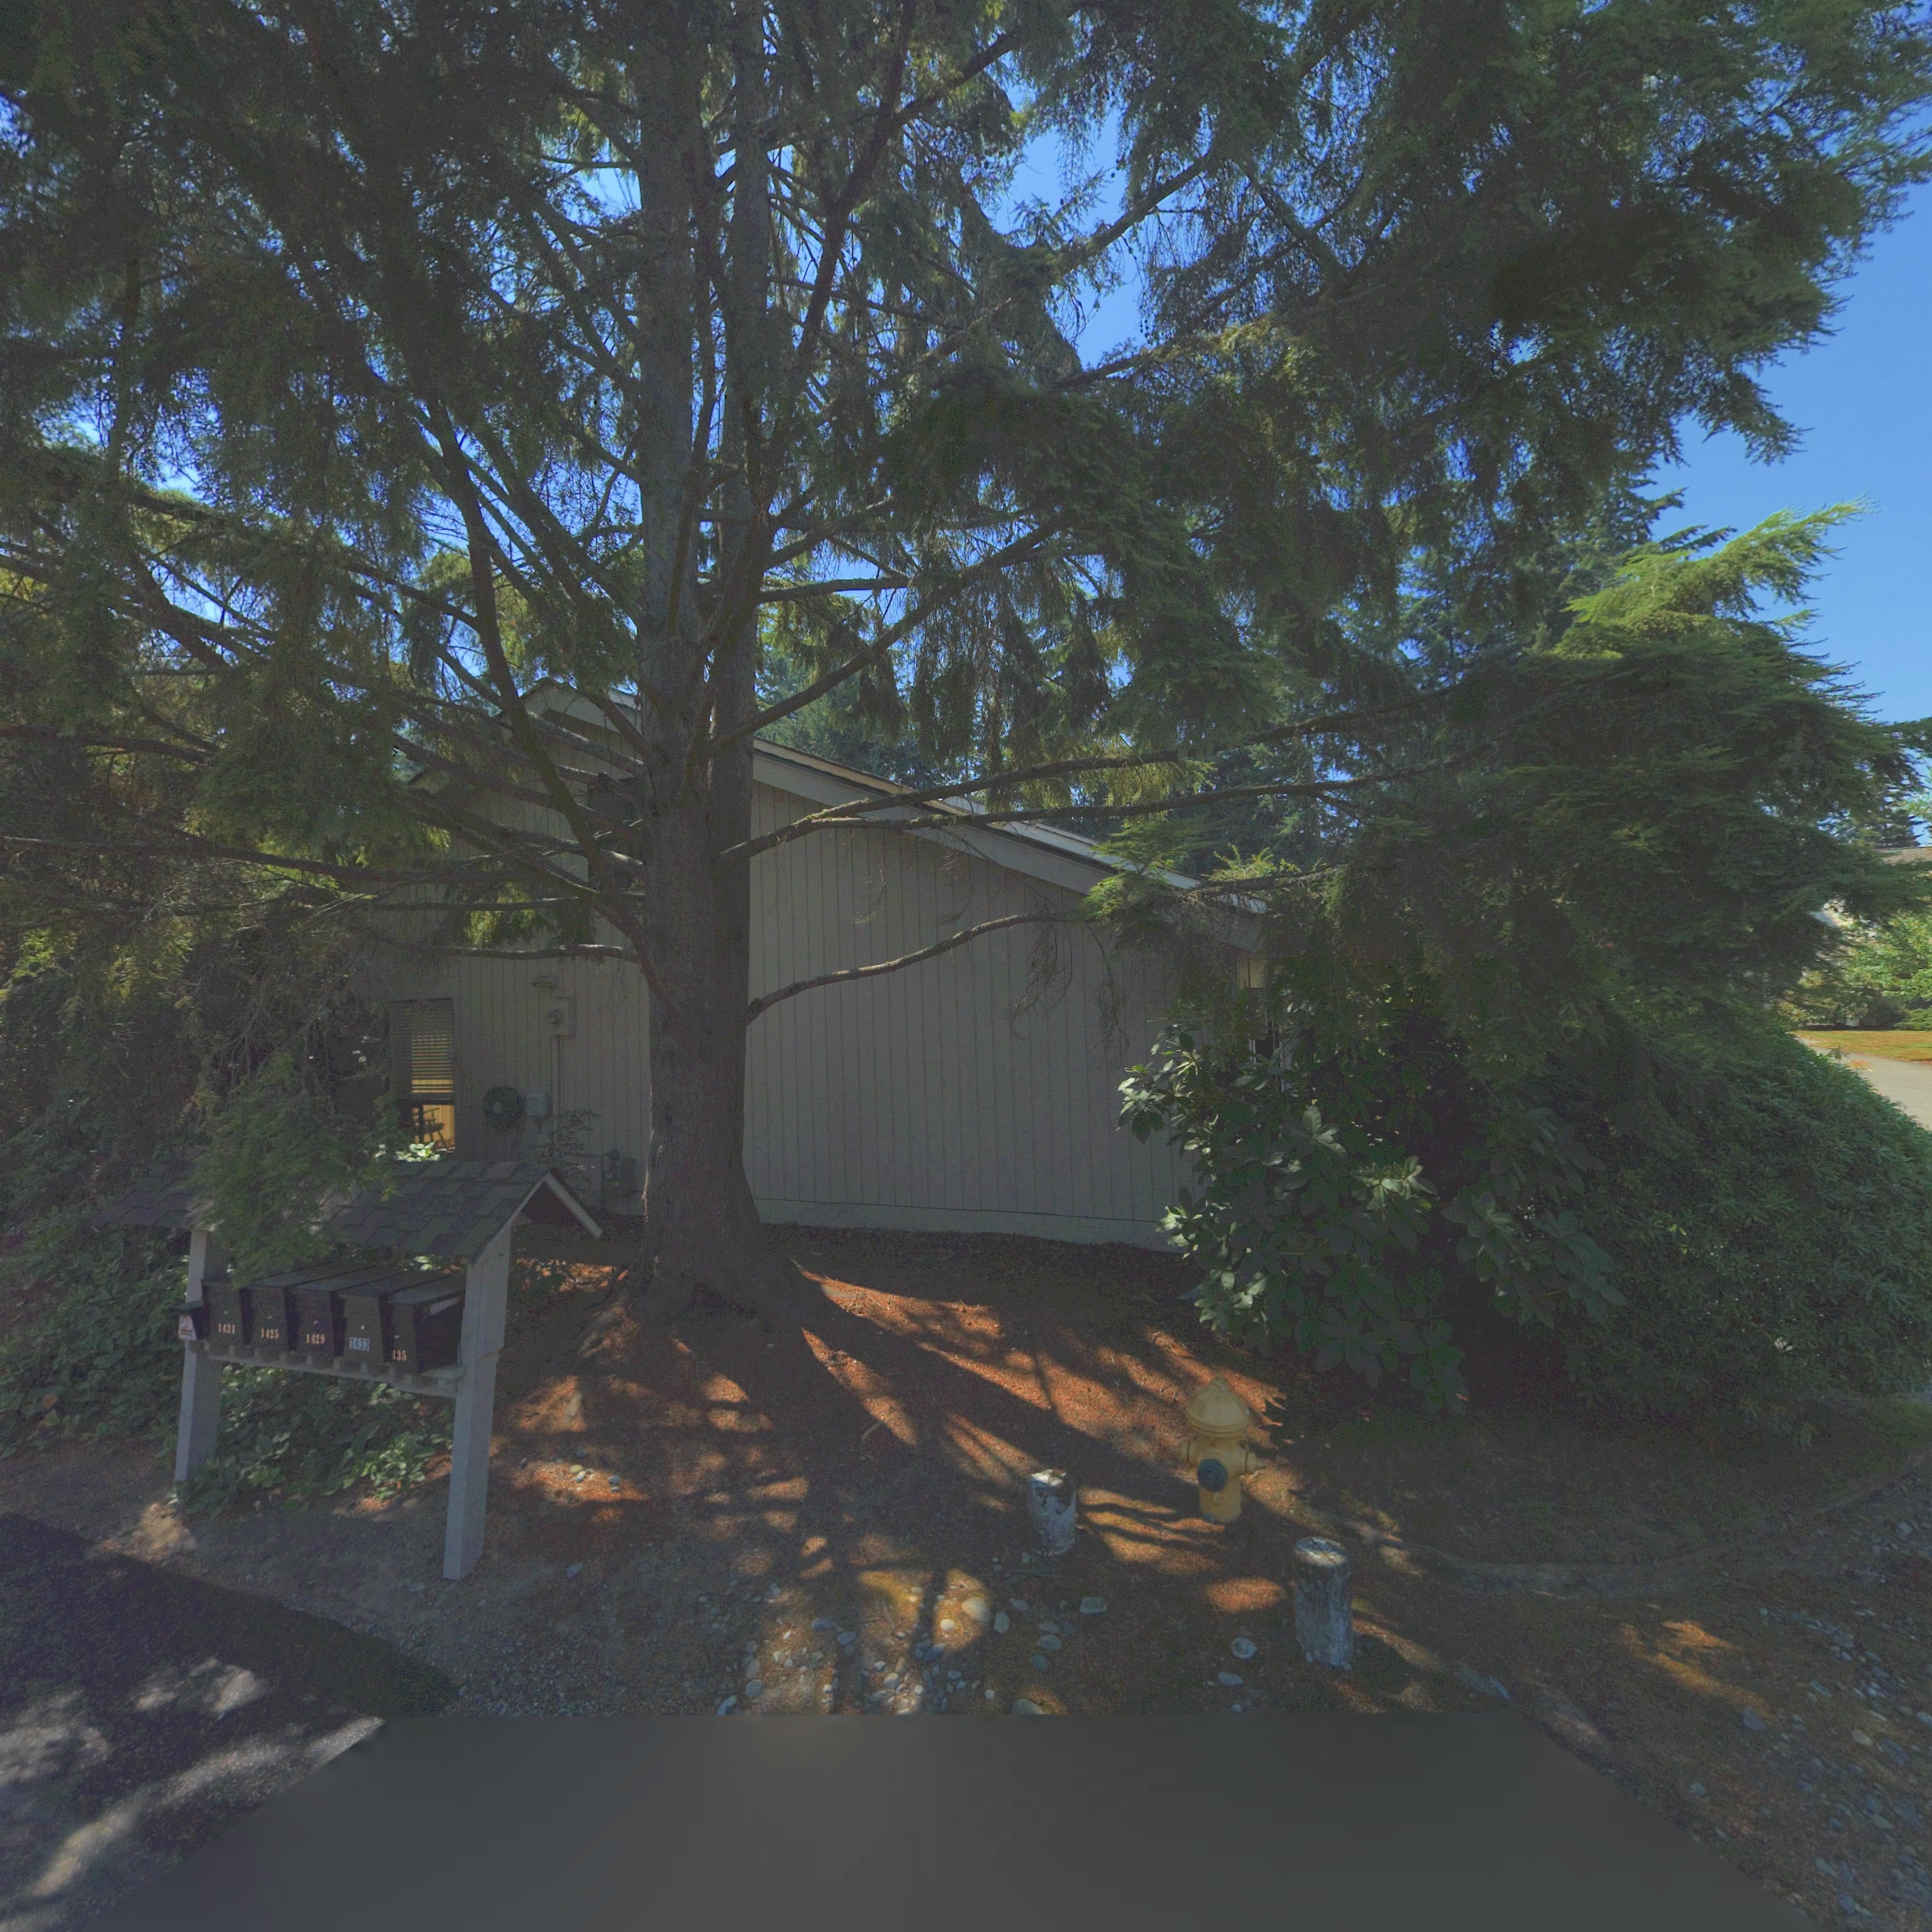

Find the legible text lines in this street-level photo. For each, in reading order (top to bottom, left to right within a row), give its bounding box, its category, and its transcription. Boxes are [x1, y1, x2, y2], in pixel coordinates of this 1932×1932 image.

[217, 1322, 235, 1333] StreetNumber: 1421
[260, 1328, 280, 1339] StreetNumber: 1425
[306, 1333, 325, 1344] StreetNumber: 1429
[350, 1337, 368, 1350] StreetNumber: 1433
[392, 1349, 406, 1362] StreetNumber: *35